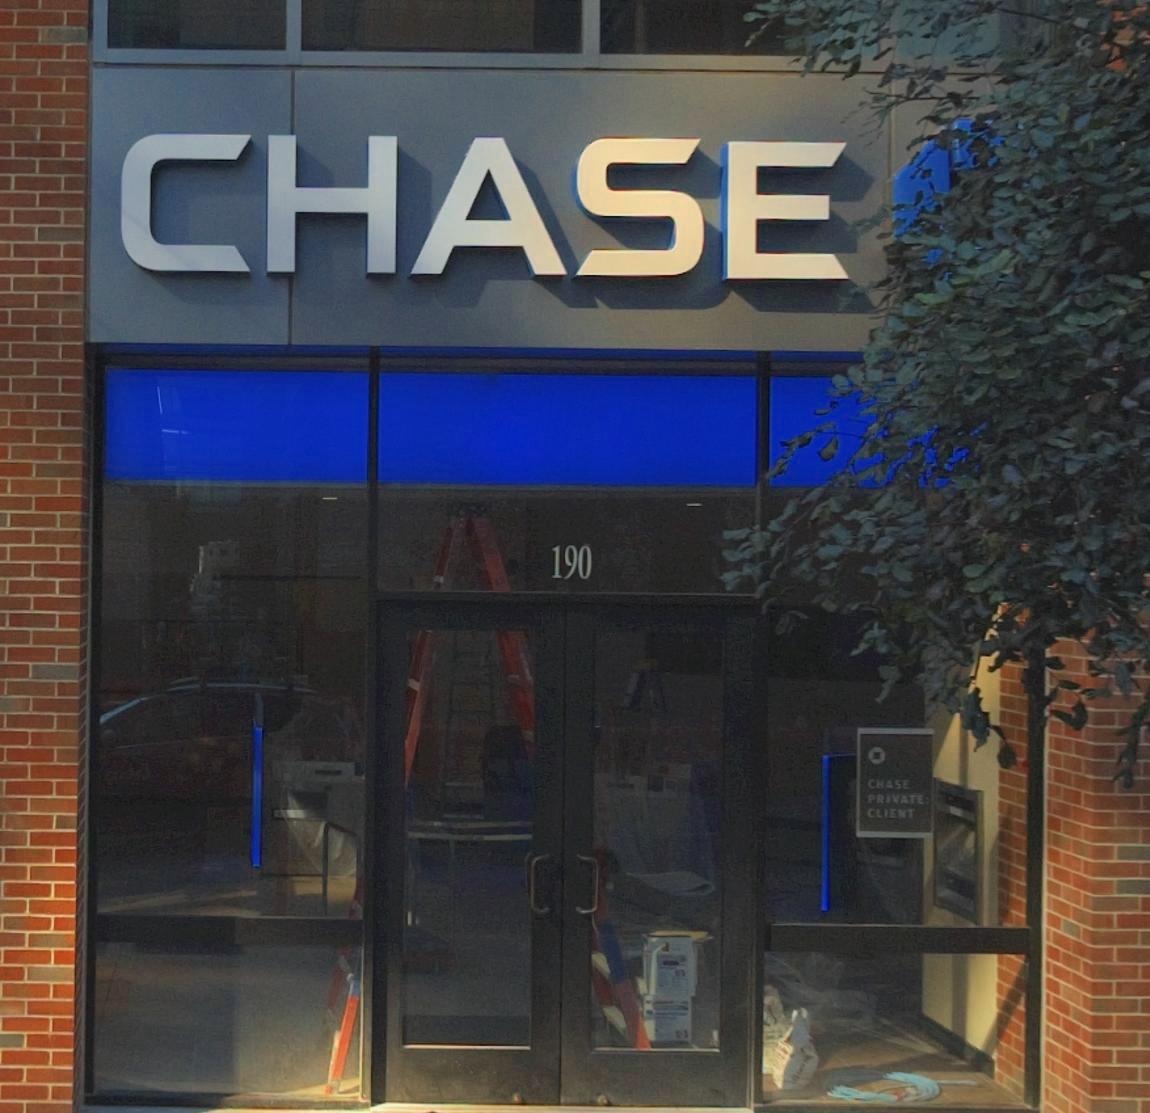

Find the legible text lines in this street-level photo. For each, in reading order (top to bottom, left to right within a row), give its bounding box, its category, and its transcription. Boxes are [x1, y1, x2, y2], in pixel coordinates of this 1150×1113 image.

[117, 130, 852, 282] BusinessName: CHASE
[550, 544, 593, 581] StreetNumber: 190
[867, 779, 911, 790] BusinessName: CHASE
[867, 794, 925, 804] None: PRIVATE
[867, 807, 916, 819] None: CLIENT